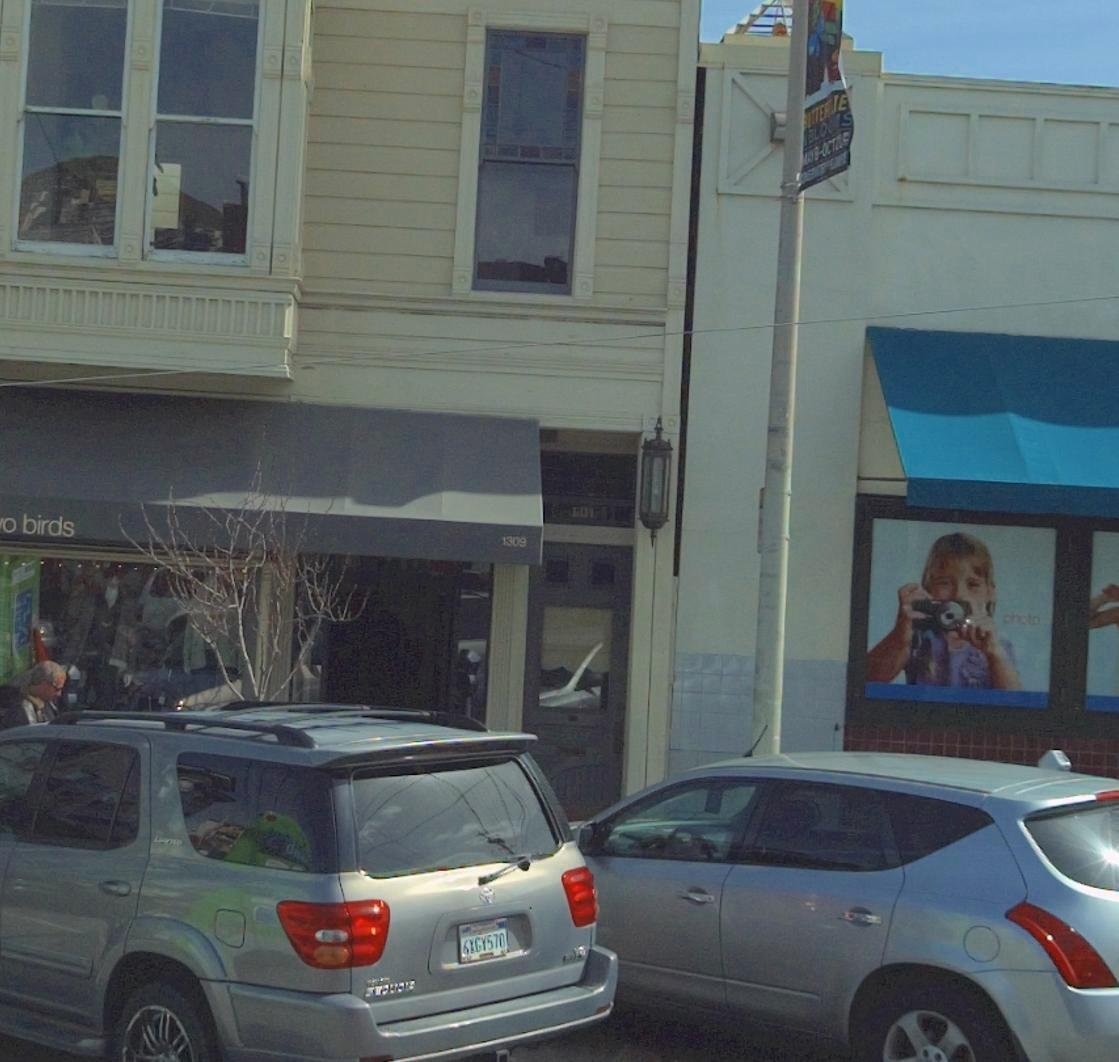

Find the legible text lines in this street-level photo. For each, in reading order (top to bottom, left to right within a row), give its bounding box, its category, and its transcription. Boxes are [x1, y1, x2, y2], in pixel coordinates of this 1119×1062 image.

[807, 110, 855, 145] None: BLO*S
[821, 136, 836, 159] None: OCT
[570, 505, 596, 520] StreetNumber: 1311
[0, 511, 77, 540] BusinessName: *o birds
[501, 534, 528, 549] StreetNumber: 1309
[1000, 611, 1043, 629] None: photo
[460, 928, 506, 957] None: 6*GY570